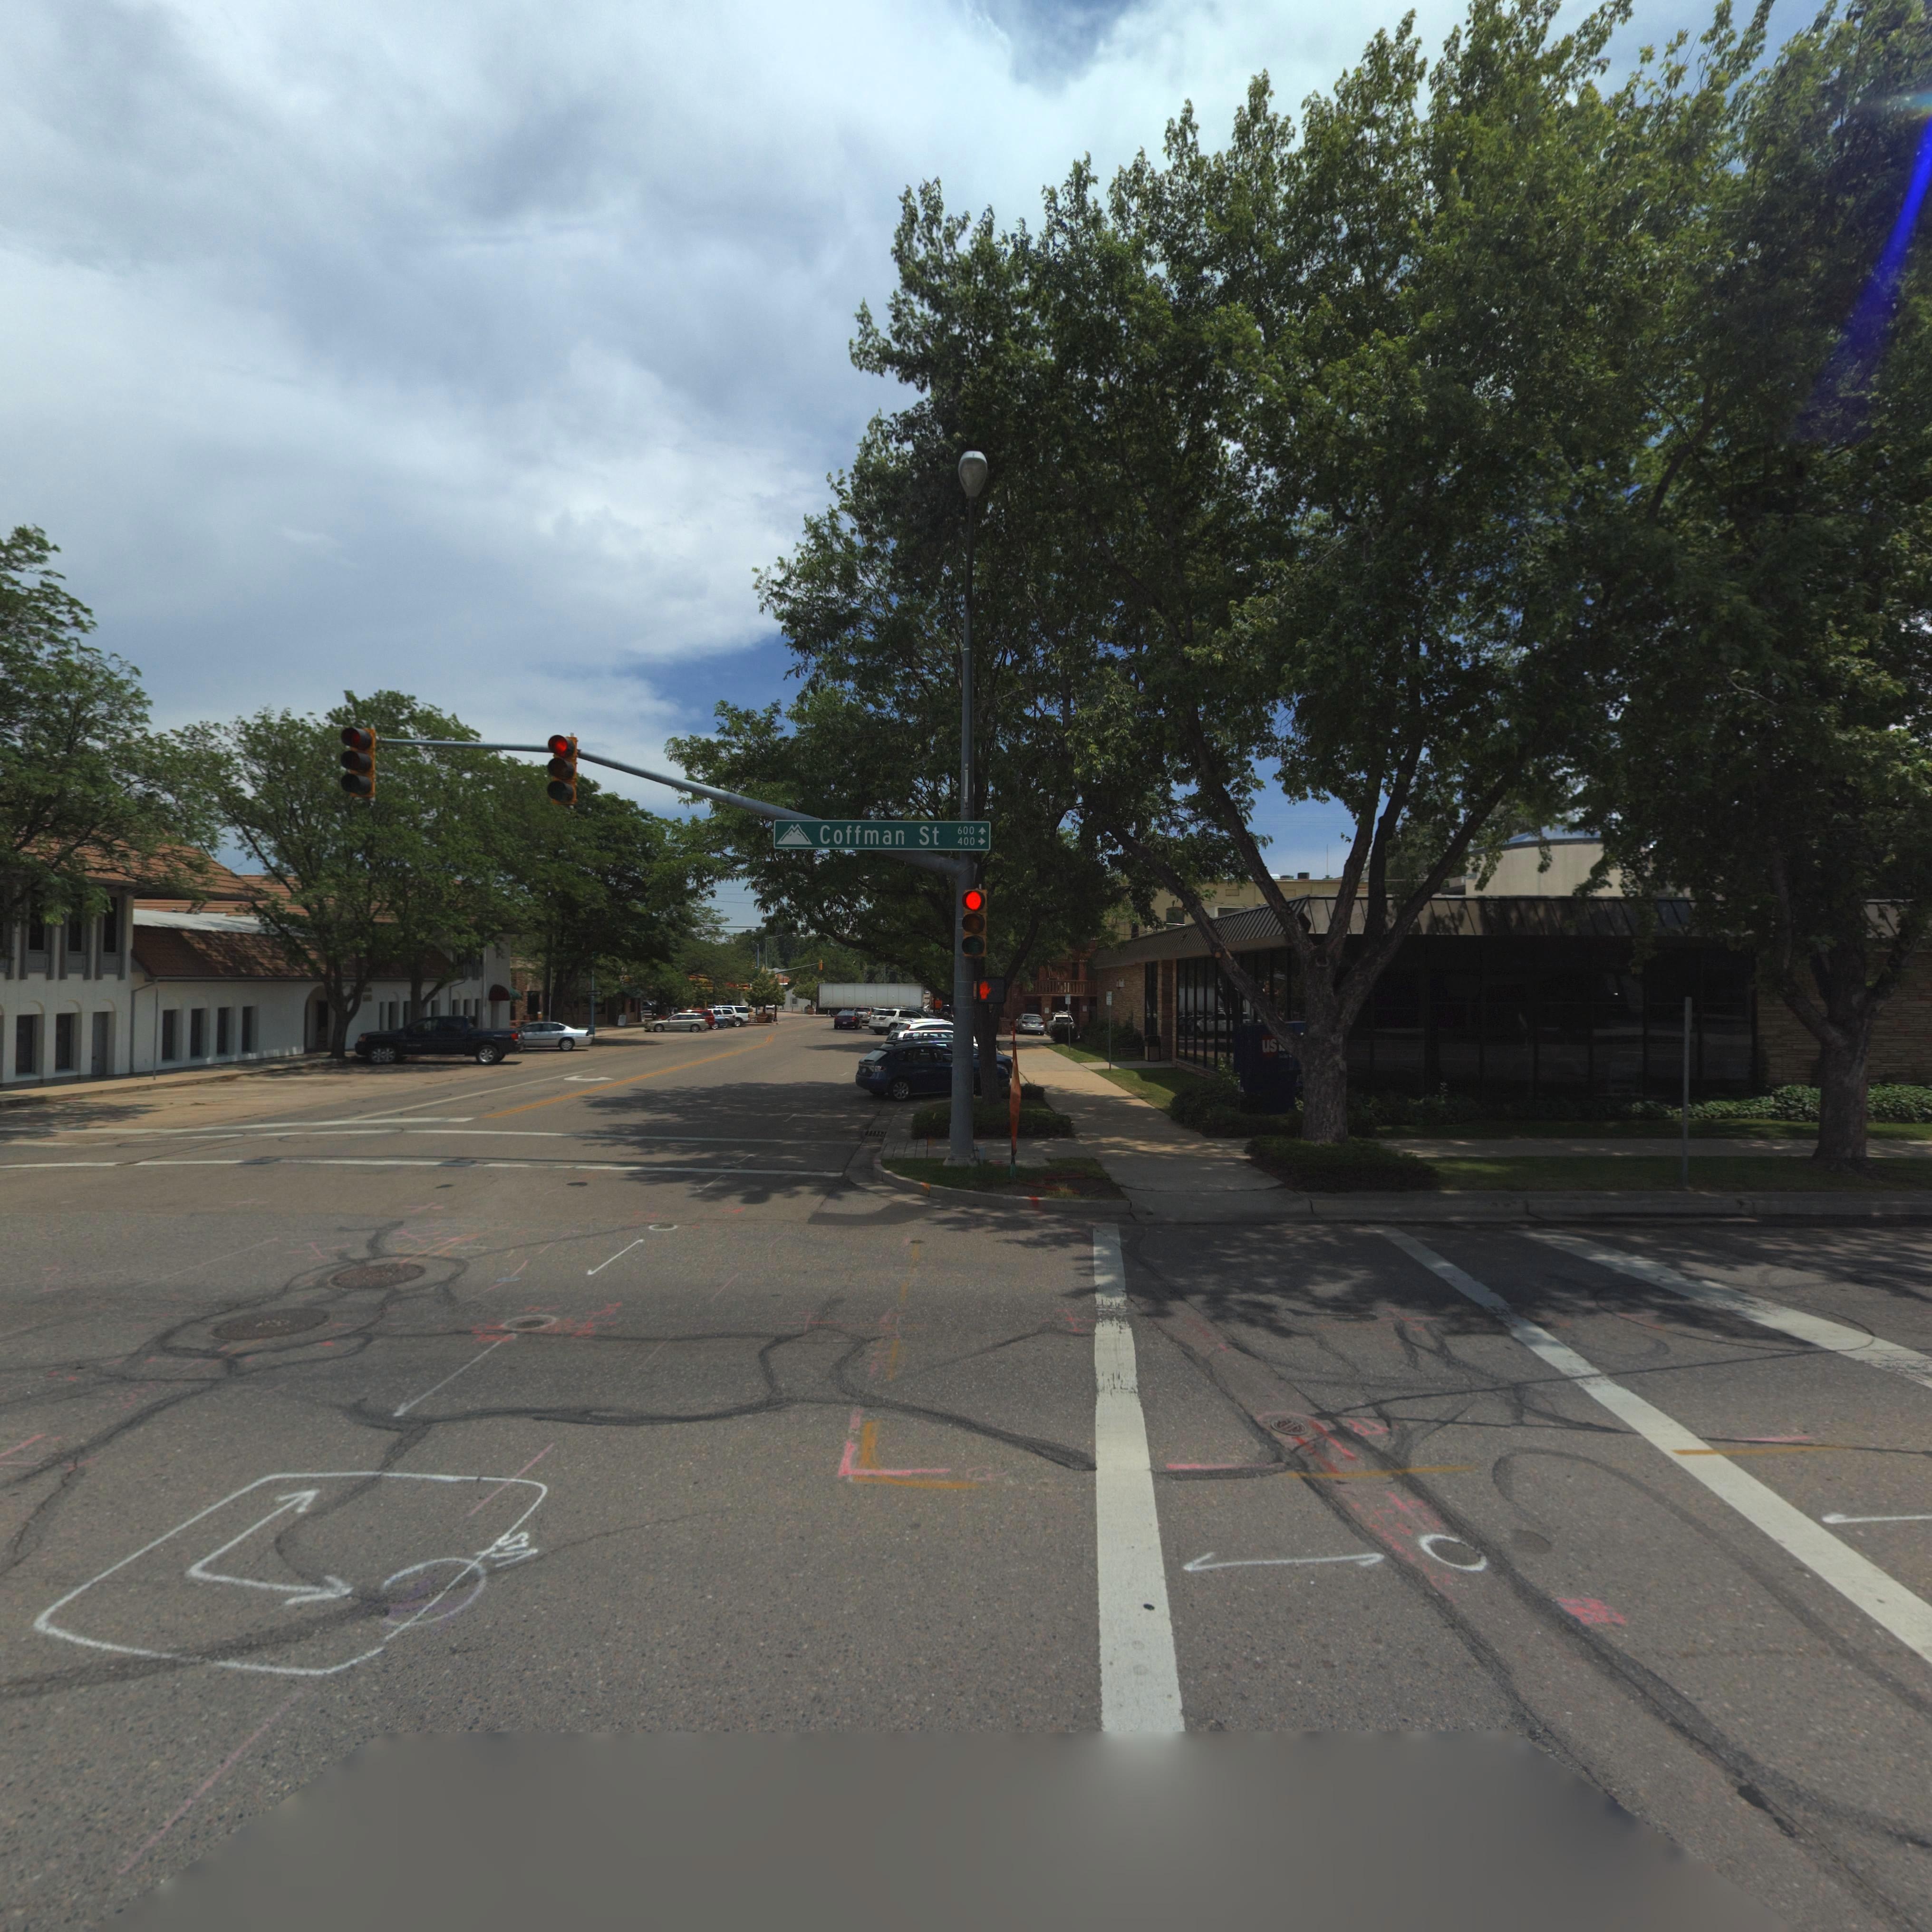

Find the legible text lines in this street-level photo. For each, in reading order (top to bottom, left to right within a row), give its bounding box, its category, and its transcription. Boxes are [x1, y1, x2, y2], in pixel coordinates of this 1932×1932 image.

[819, 824, 939, 845] StreetName: Coffman St
[957, 826, 974, 834] StreetNumberRange: 600
[956, 836, 985, 845] StreetNumberRange: 400->
[1262, 1038, 1285, 1053] BusinessName: us*